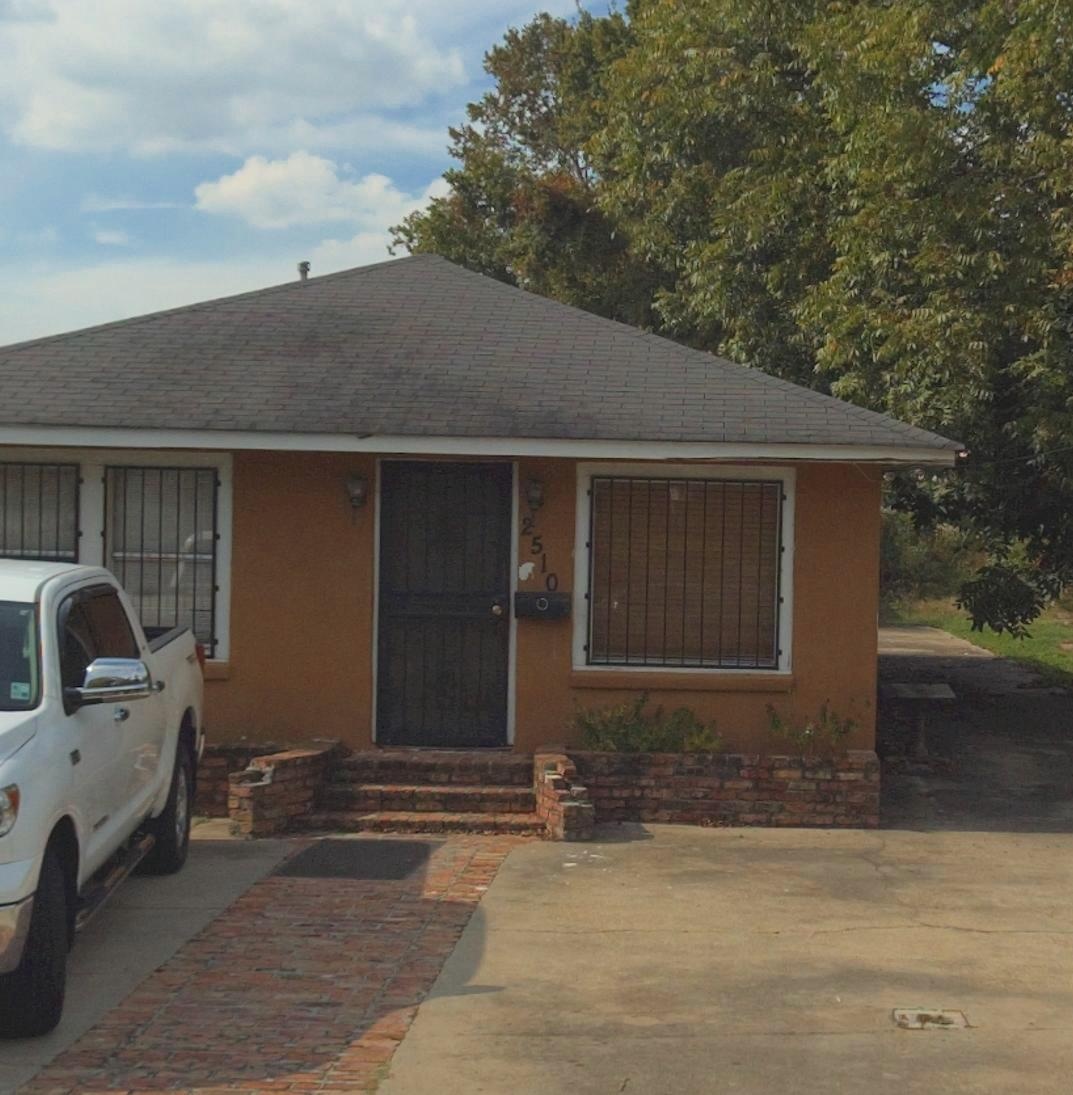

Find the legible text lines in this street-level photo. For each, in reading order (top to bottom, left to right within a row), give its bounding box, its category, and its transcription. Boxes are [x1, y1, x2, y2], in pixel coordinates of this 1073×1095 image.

[516, 510, 568, 592] StreetNumber: 2510